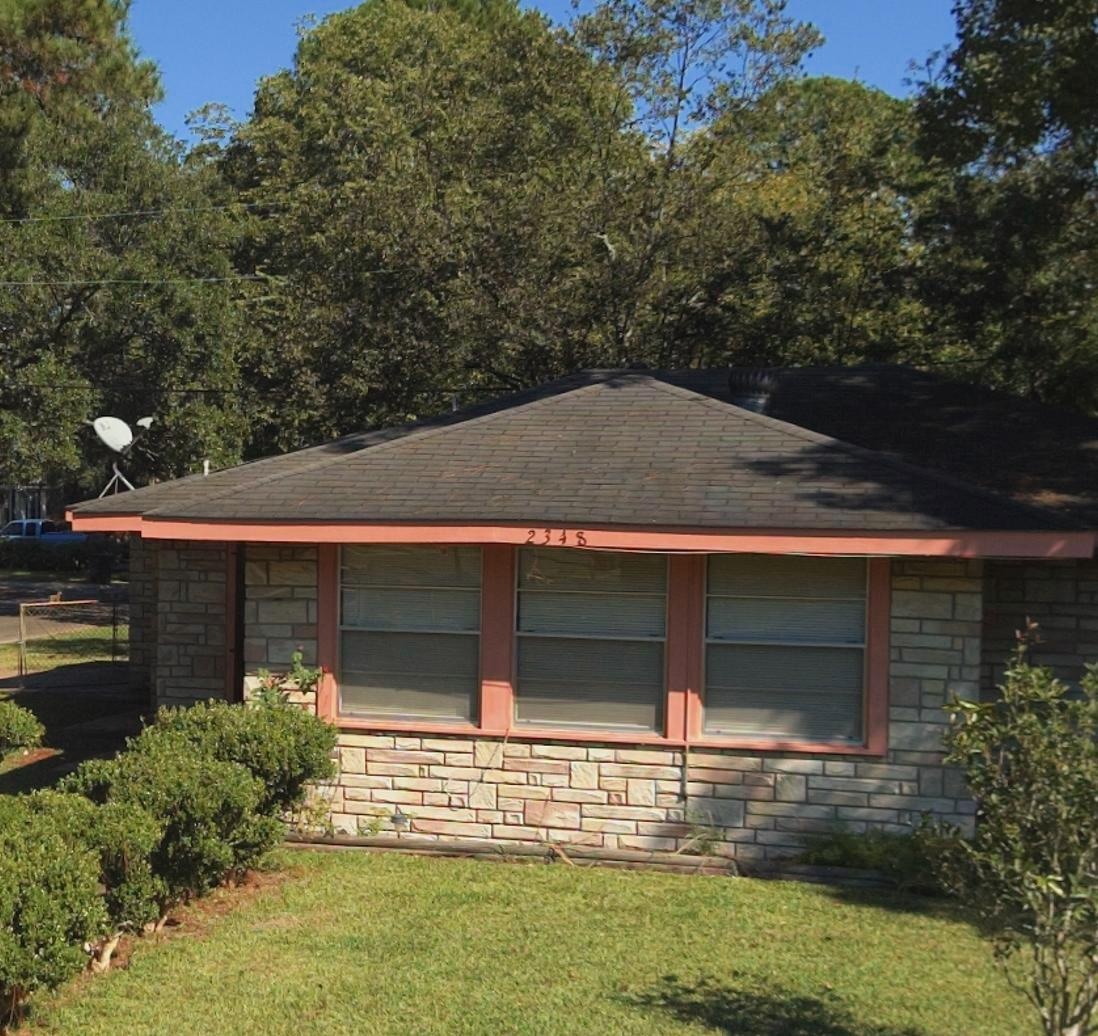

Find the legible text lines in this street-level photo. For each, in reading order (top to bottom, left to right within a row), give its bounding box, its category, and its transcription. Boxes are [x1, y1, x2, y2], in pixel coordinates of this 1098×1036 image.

[523, 527, 587, 547] StreetNumber: 2348